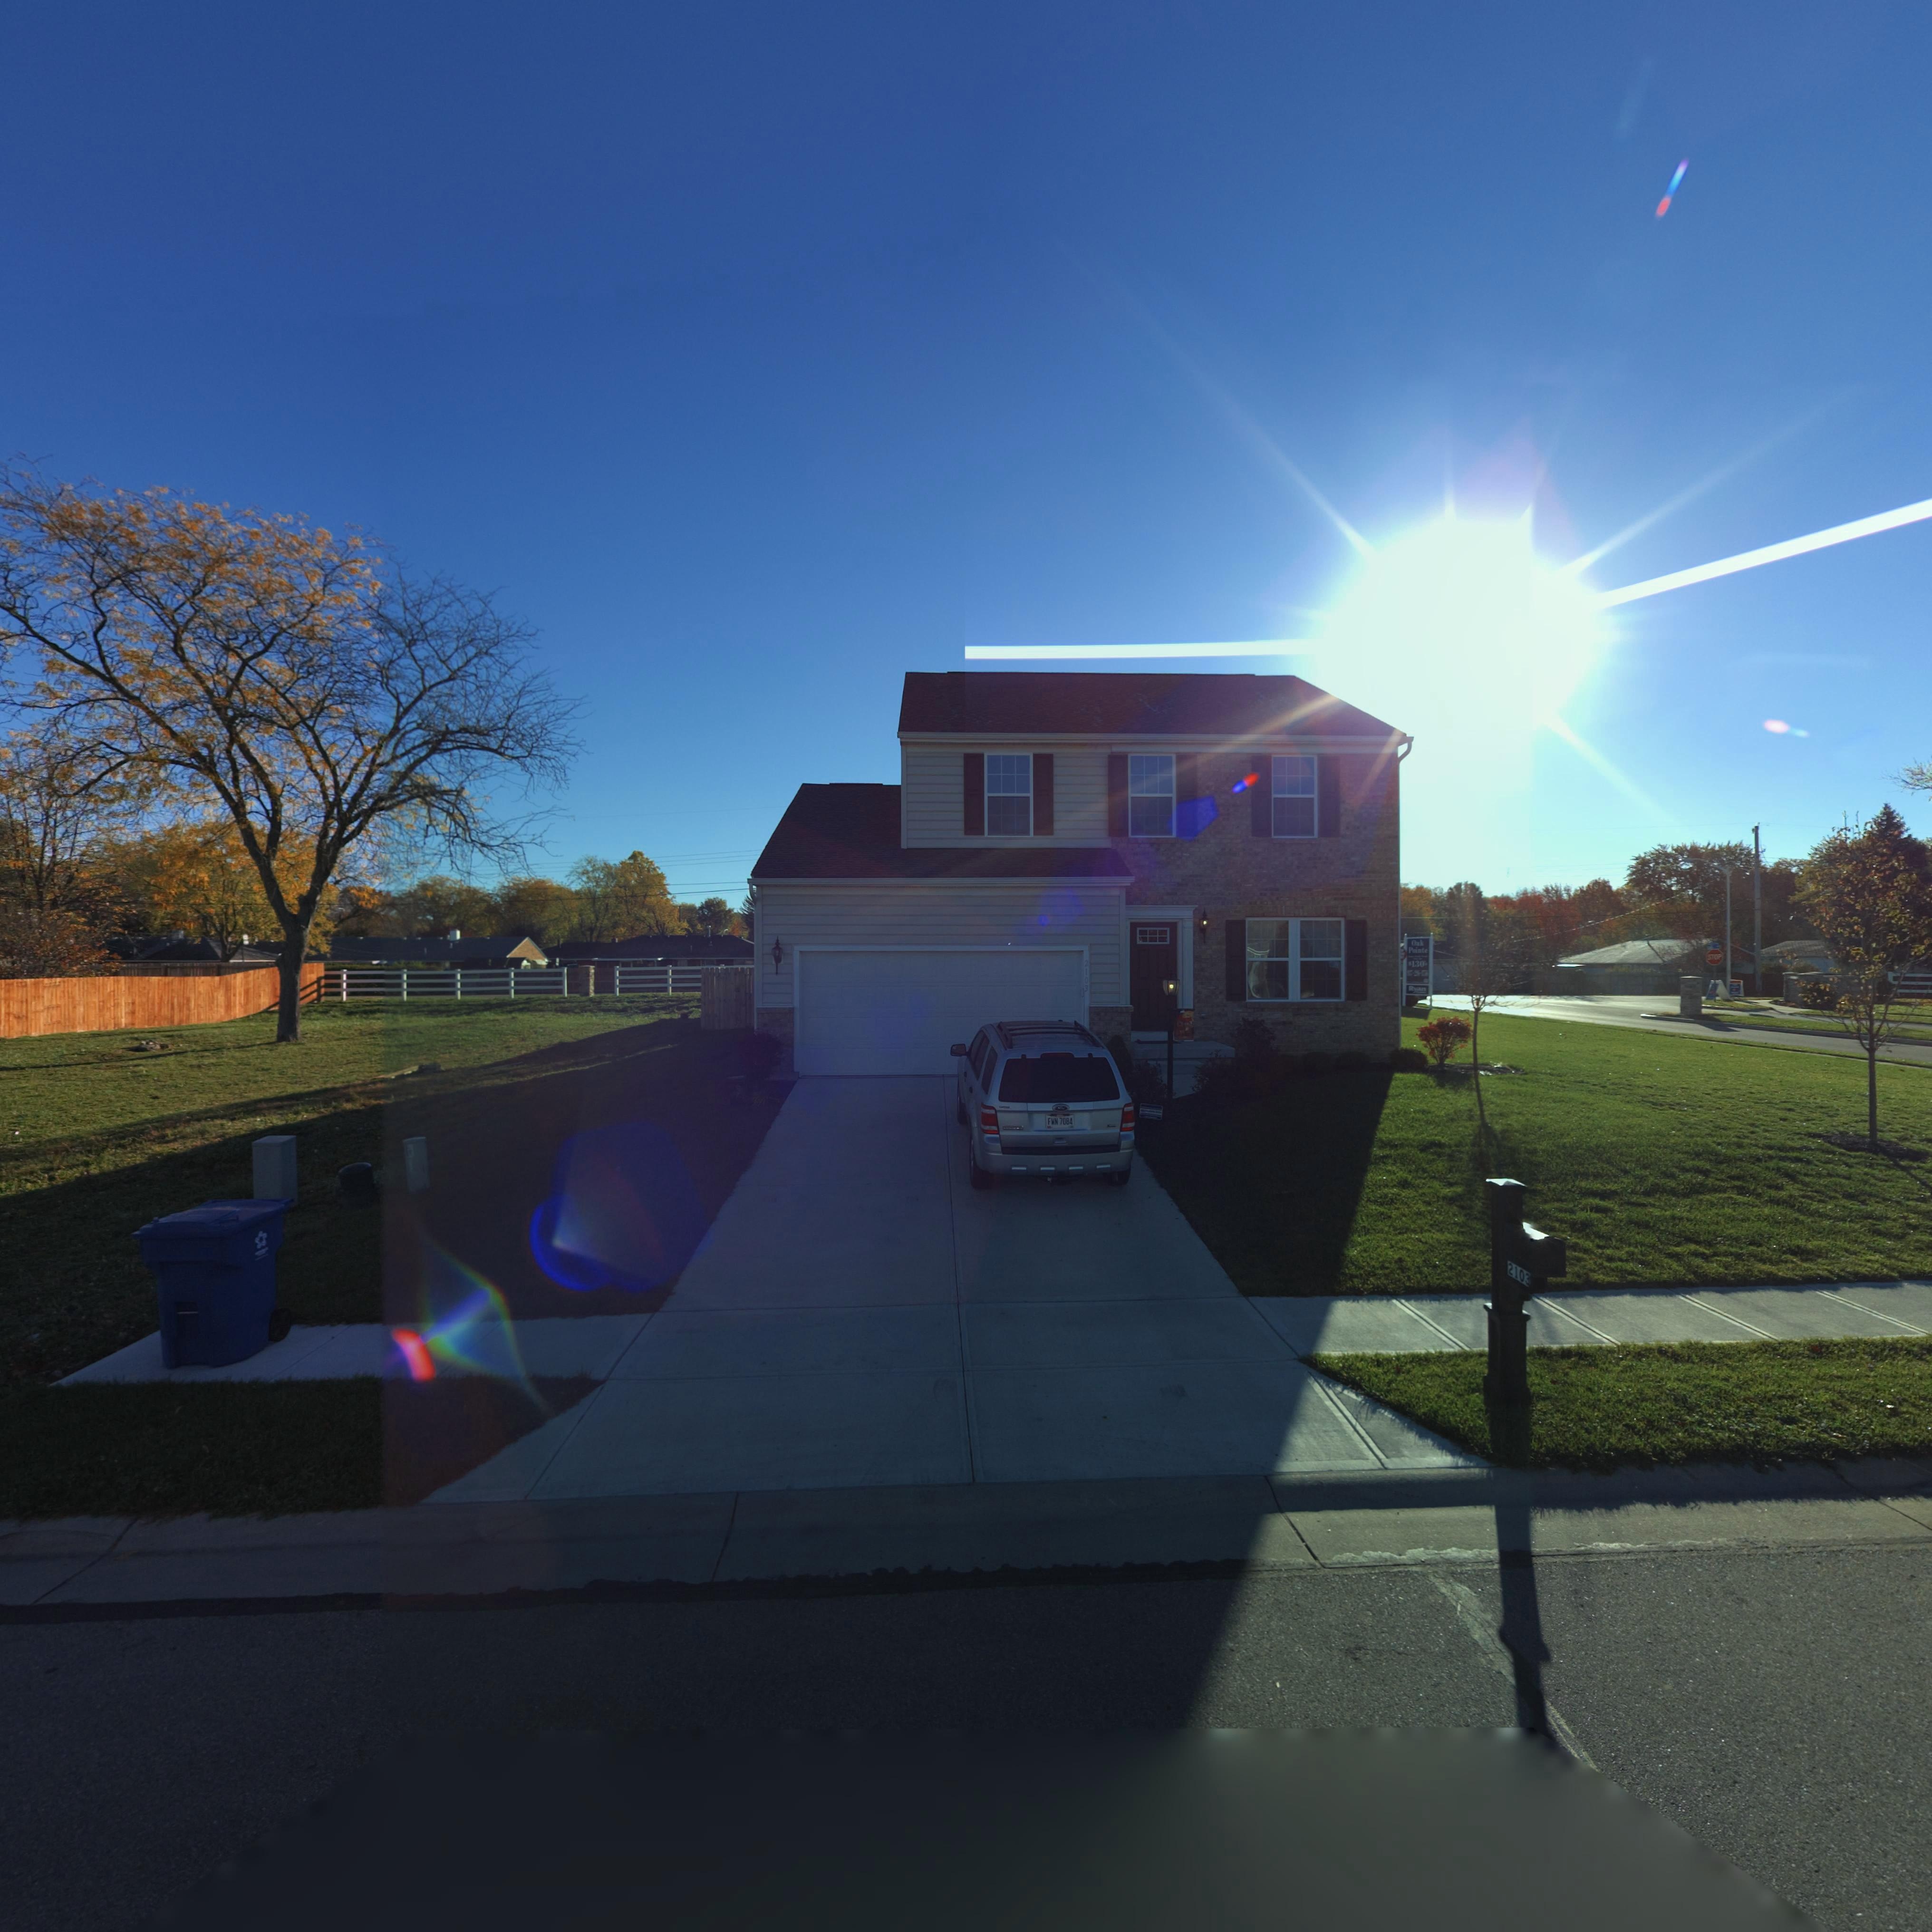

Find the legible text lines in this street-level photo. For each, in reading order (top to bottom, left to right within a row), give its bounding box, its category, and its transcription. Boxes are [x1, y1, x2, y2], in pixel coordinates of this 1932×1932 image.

[1082, 958, 1090, 993] StreetNumber: 2103
[1507, 1262, 1531, 1286] StreetNumber: 2103